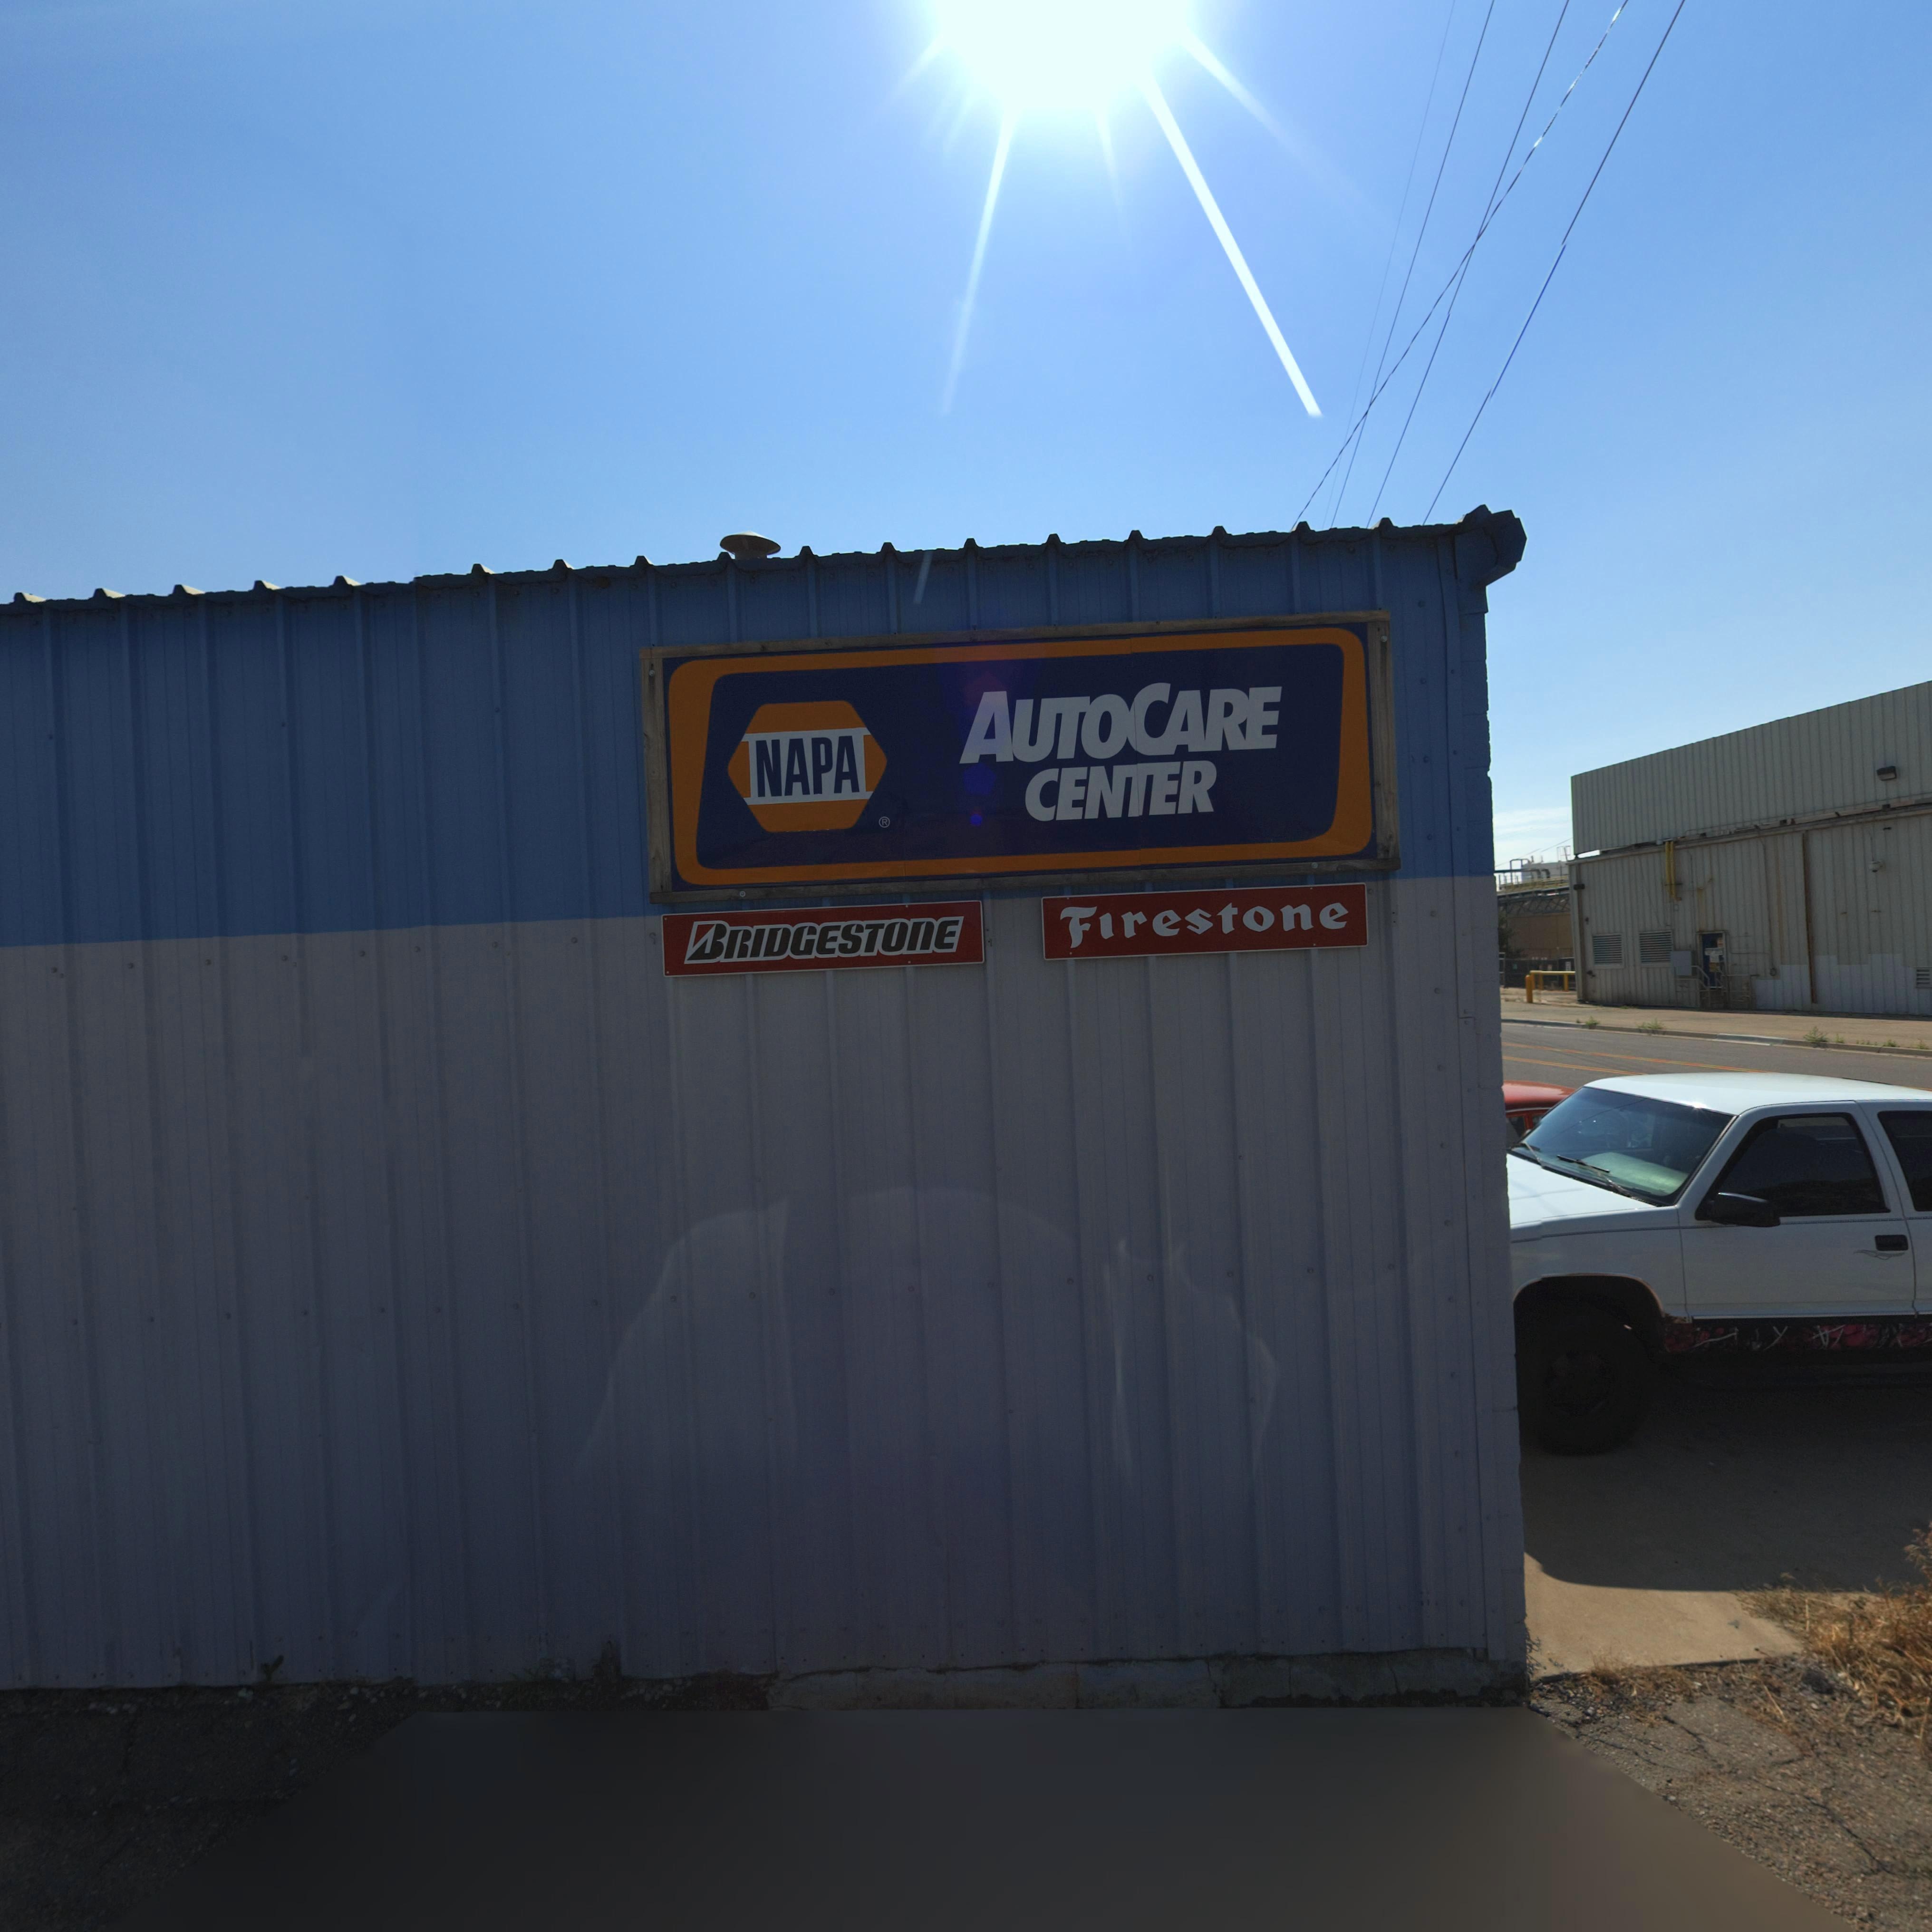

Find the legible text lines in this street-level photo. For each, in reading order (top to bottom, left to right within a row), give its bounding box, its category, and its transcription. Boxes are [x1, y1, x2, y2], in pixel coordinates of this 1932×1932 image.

[955, 674, 1287, 767] BusinessName: AUTOCARE
[753, 733, 863, 799] BusinessName: NAPA
[1019, 756, 1224, 828] BusinessName: CENTER